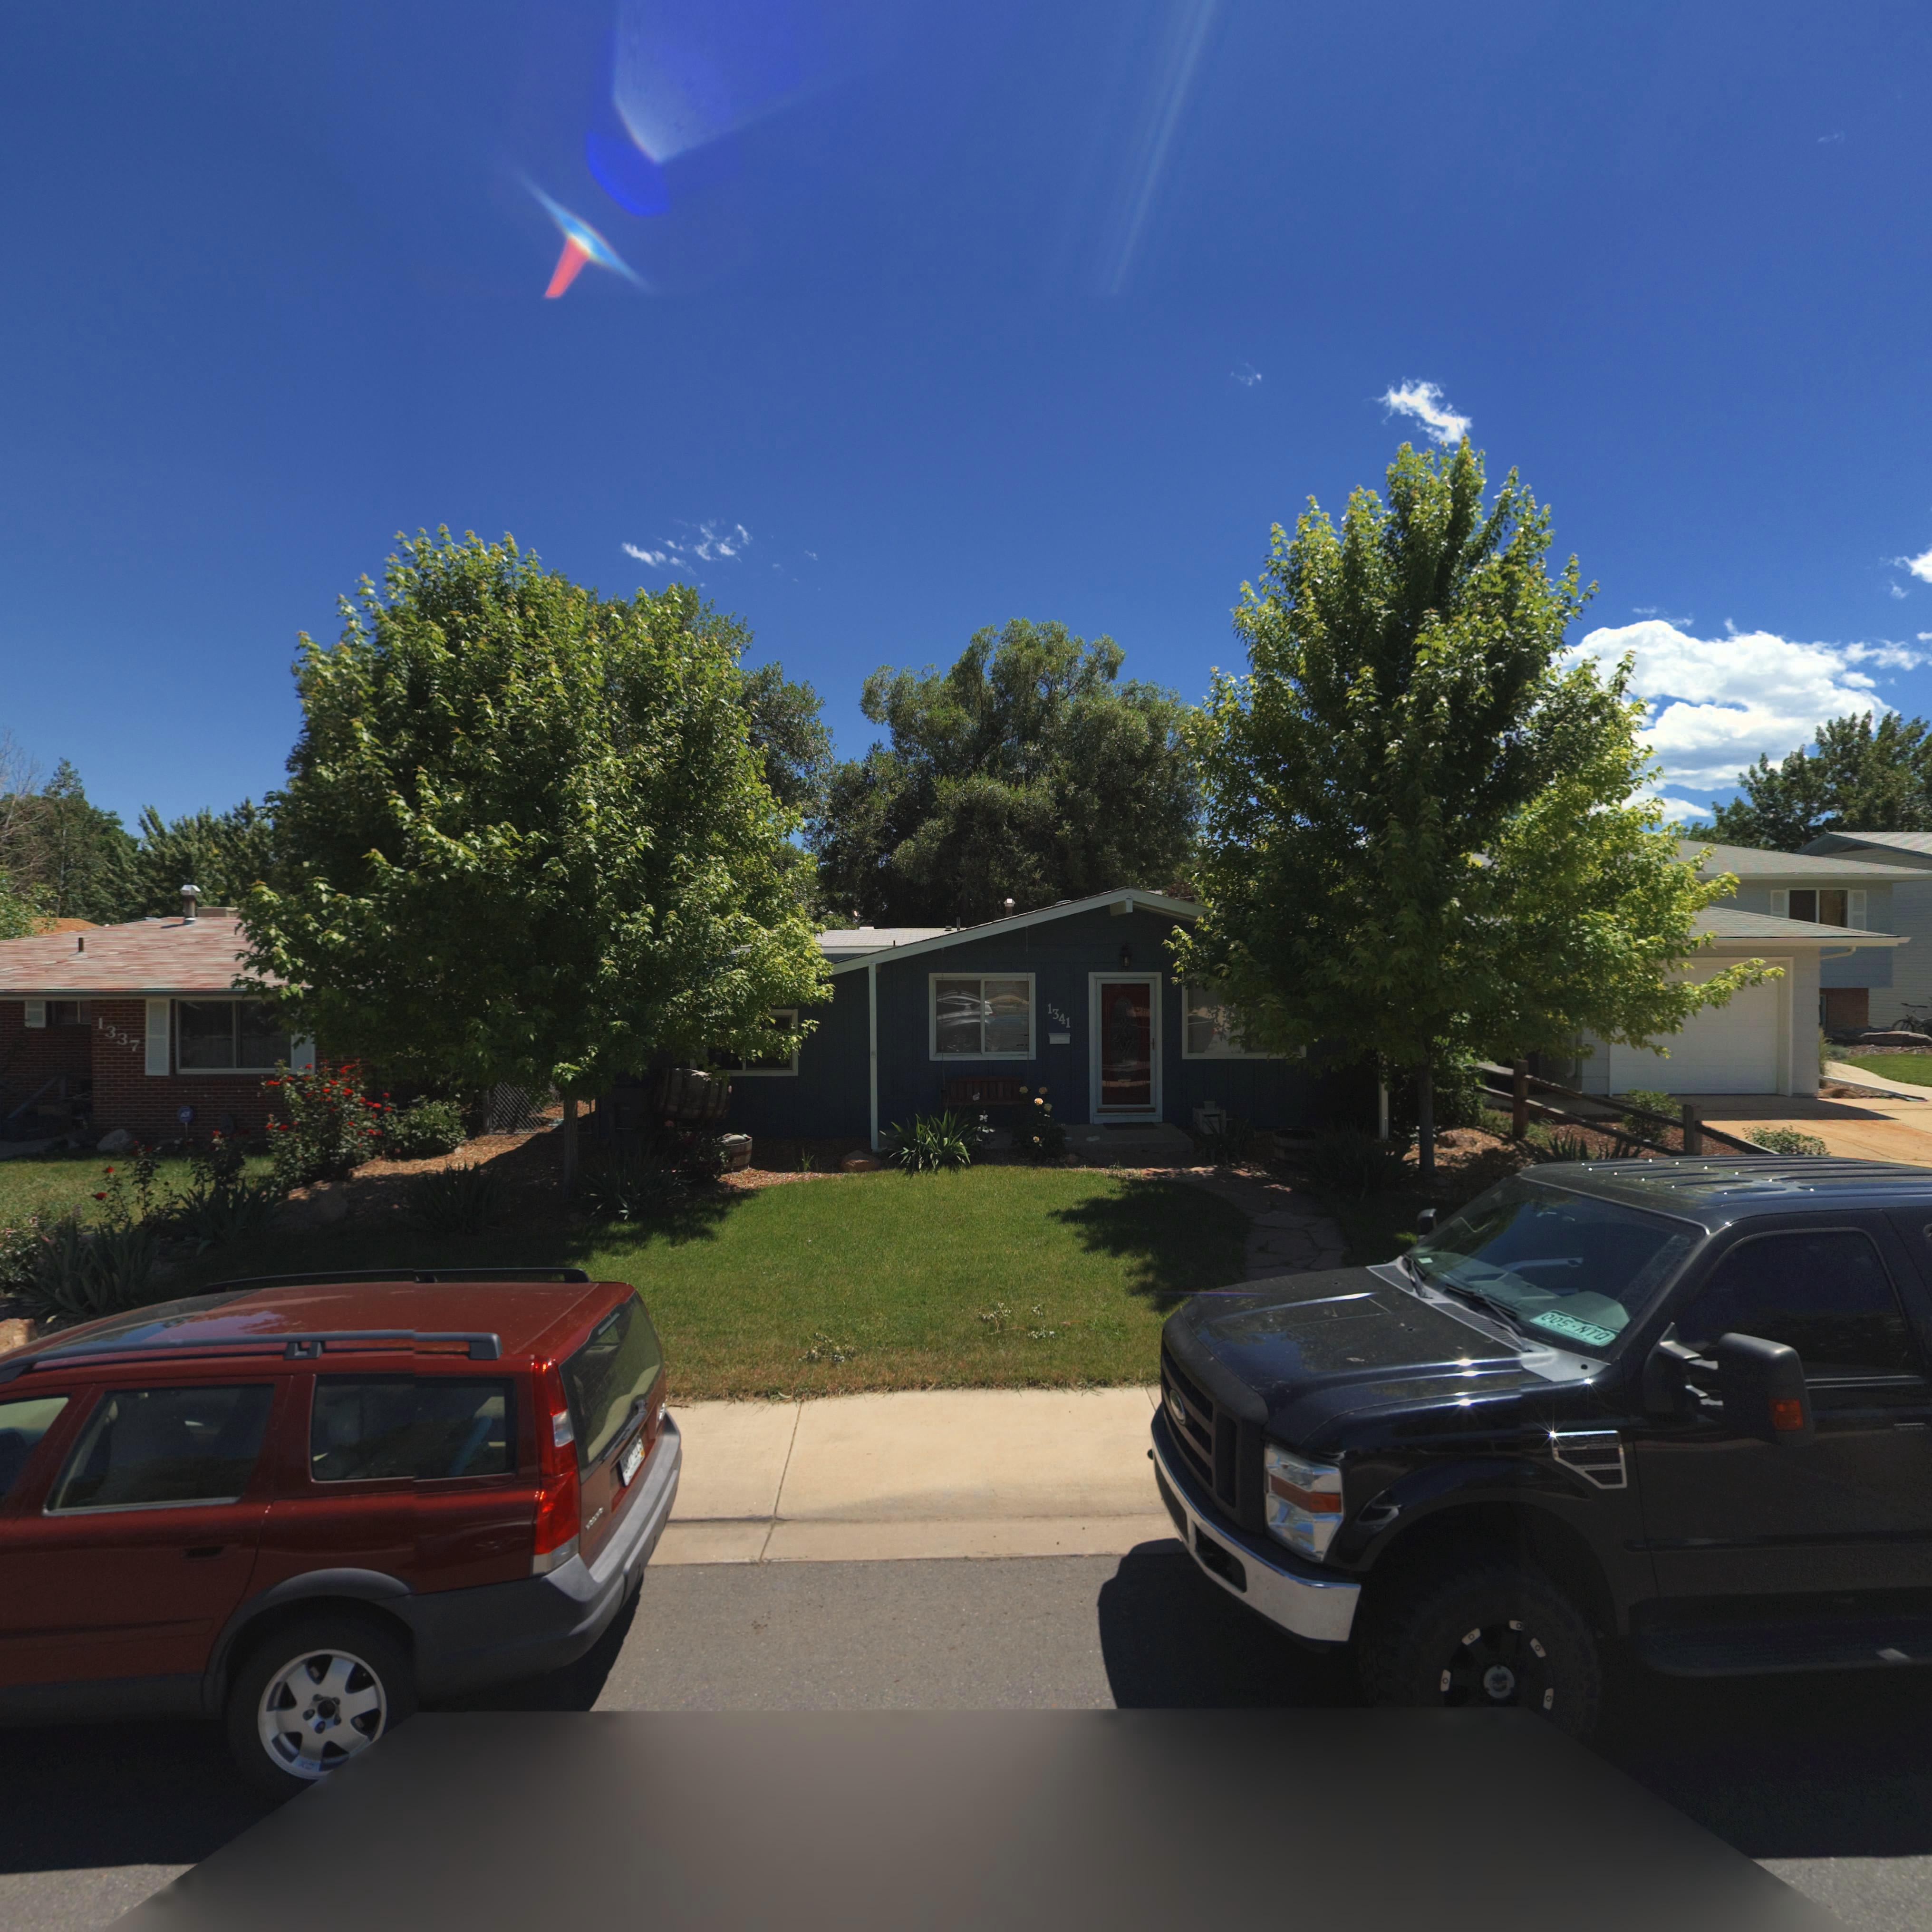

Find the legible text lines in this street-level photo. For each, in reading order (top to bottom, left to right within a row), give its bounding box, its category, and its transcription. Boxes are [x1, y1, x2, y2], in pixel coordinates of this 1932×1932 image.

[1047, 1002, 1071, 1028] StreetNumber: 1341
[97, 1016, 142, 1053] StreetNumber: 1337